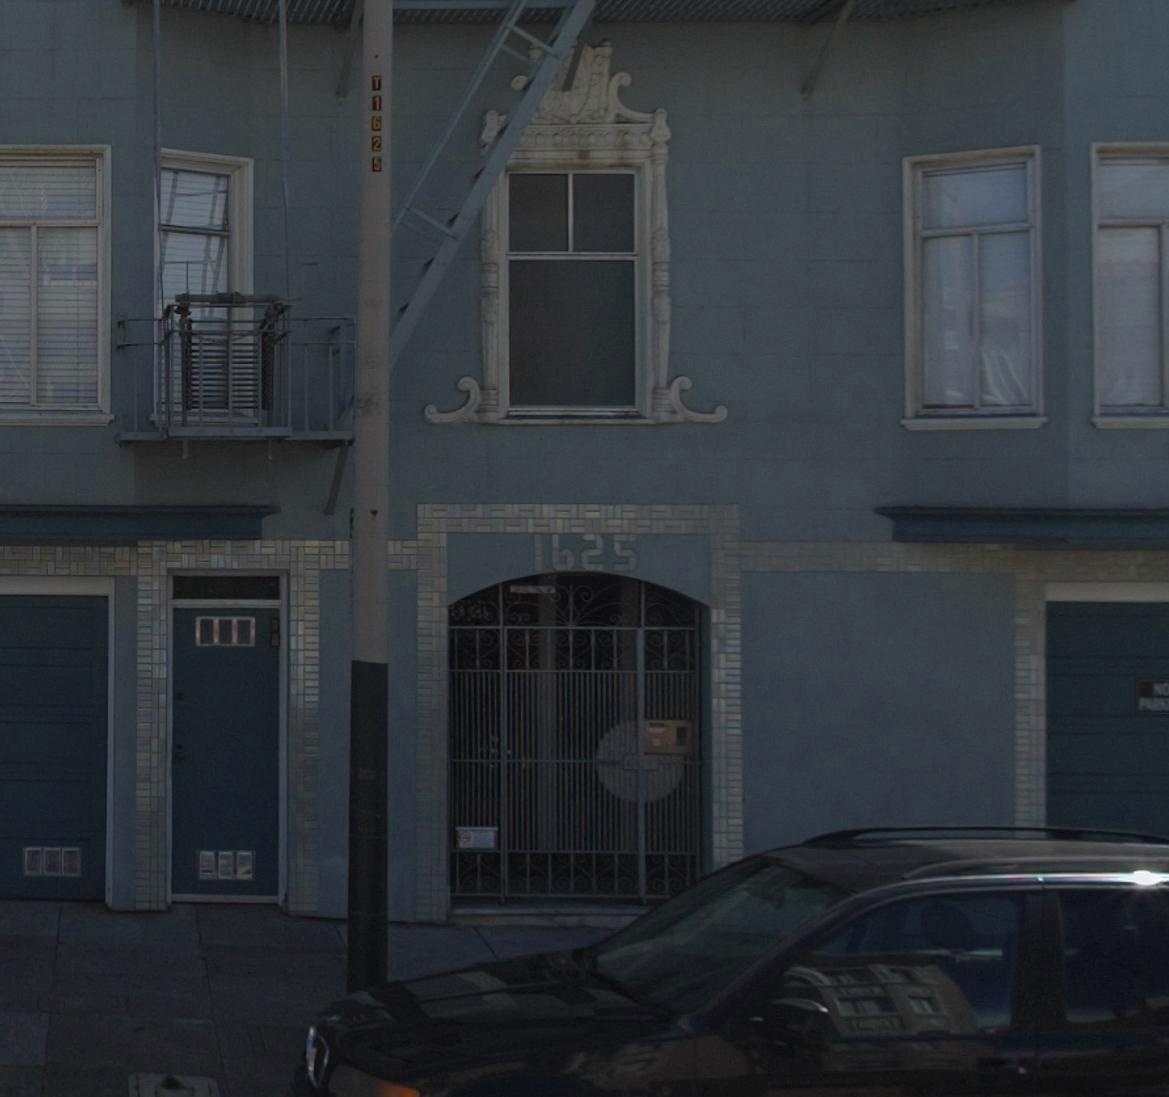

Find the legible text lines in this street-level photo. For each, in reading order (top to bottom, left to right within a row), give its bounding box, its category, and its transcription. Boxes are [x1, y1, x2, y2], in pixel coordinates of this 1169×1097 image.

[372, 76, 382, 170] None: T1625
[532, 533, 637, 572] StreetNumber: 1625
[1138, 697, 1167, 712] None: PARK
[1153, 682, 1169, 696] None: NO